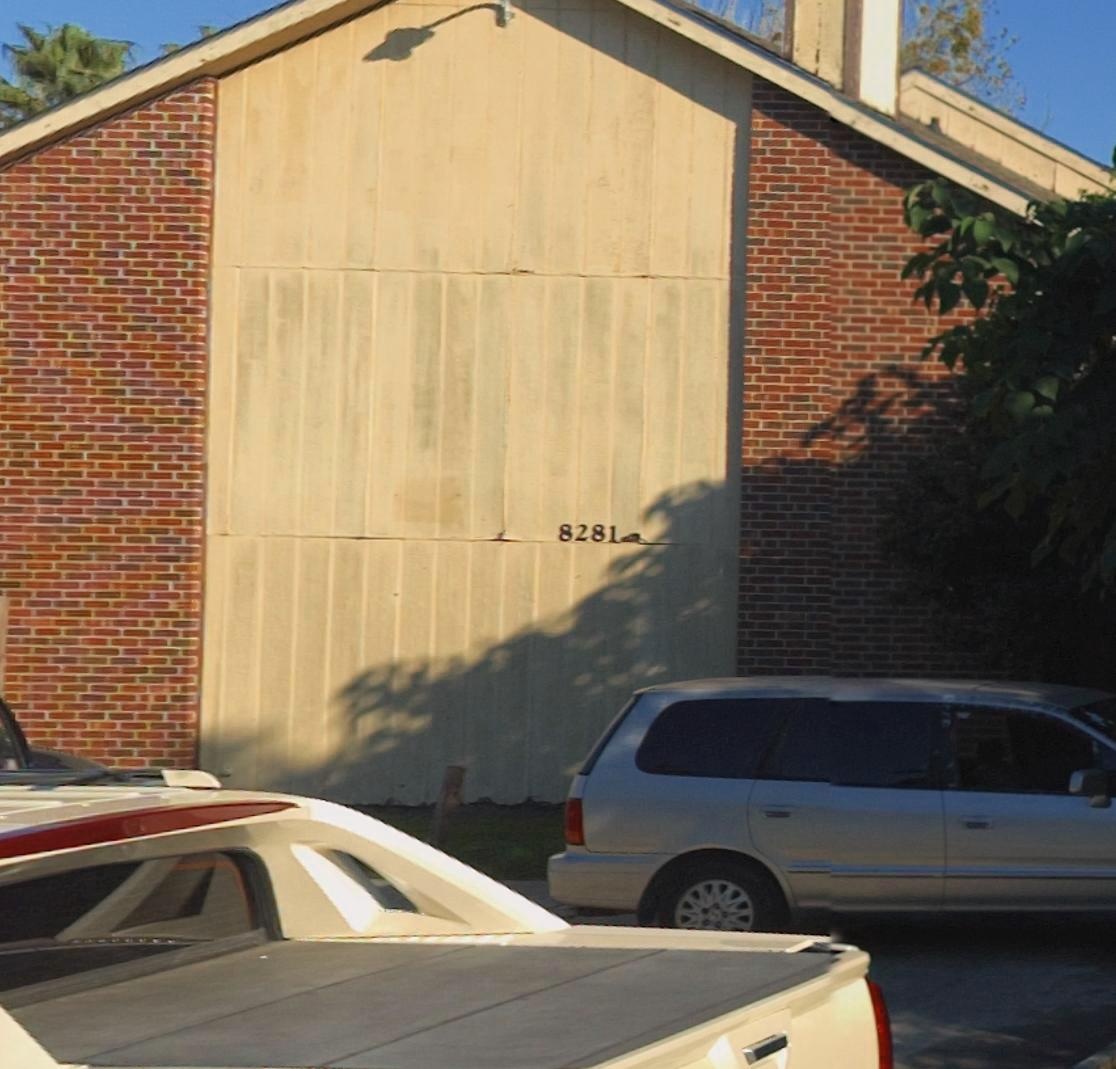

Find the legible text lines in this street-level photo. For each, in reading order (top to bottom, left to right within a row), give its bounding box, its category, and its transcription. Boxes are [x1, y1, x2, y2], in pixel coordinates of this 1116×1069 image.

[558, 523, 618, 542] StreetNumber: 8281